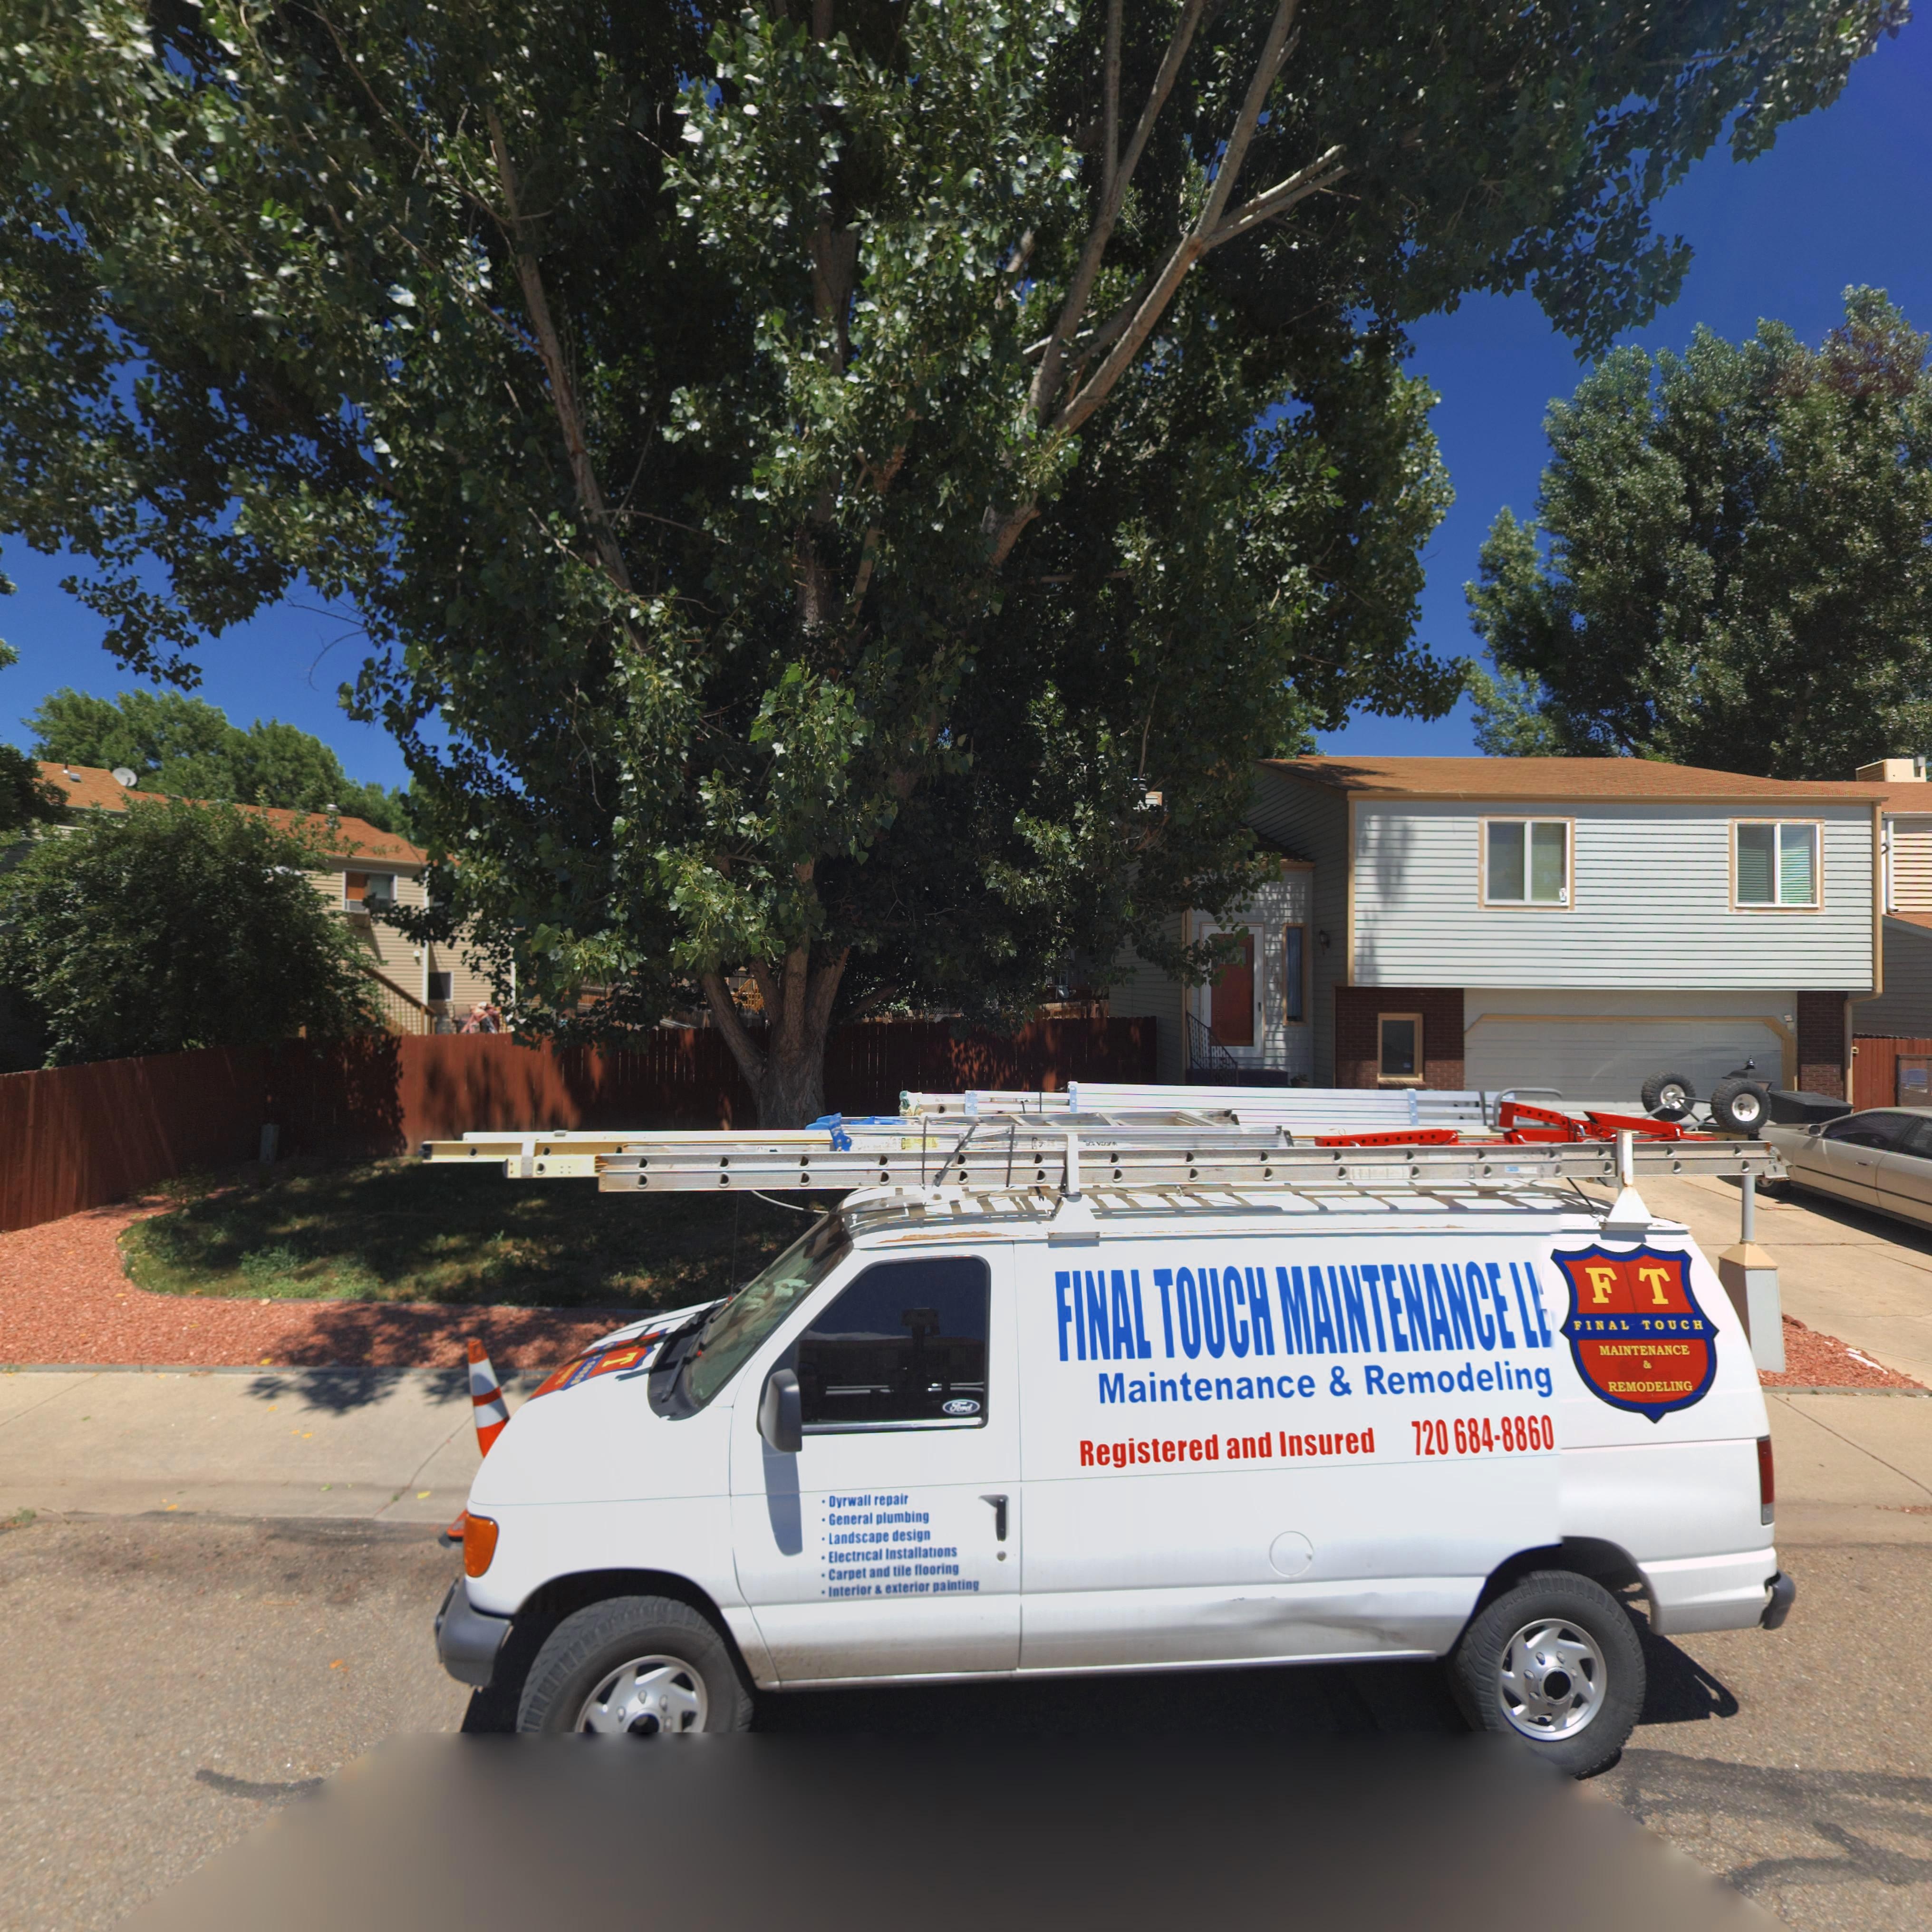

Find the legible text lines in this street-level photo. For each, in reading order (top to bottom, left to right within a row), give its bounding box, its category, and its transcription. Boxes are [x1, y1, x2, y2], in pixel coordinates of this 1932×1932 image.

[1265, 956, 1282, 991] StreetNumber: 1160